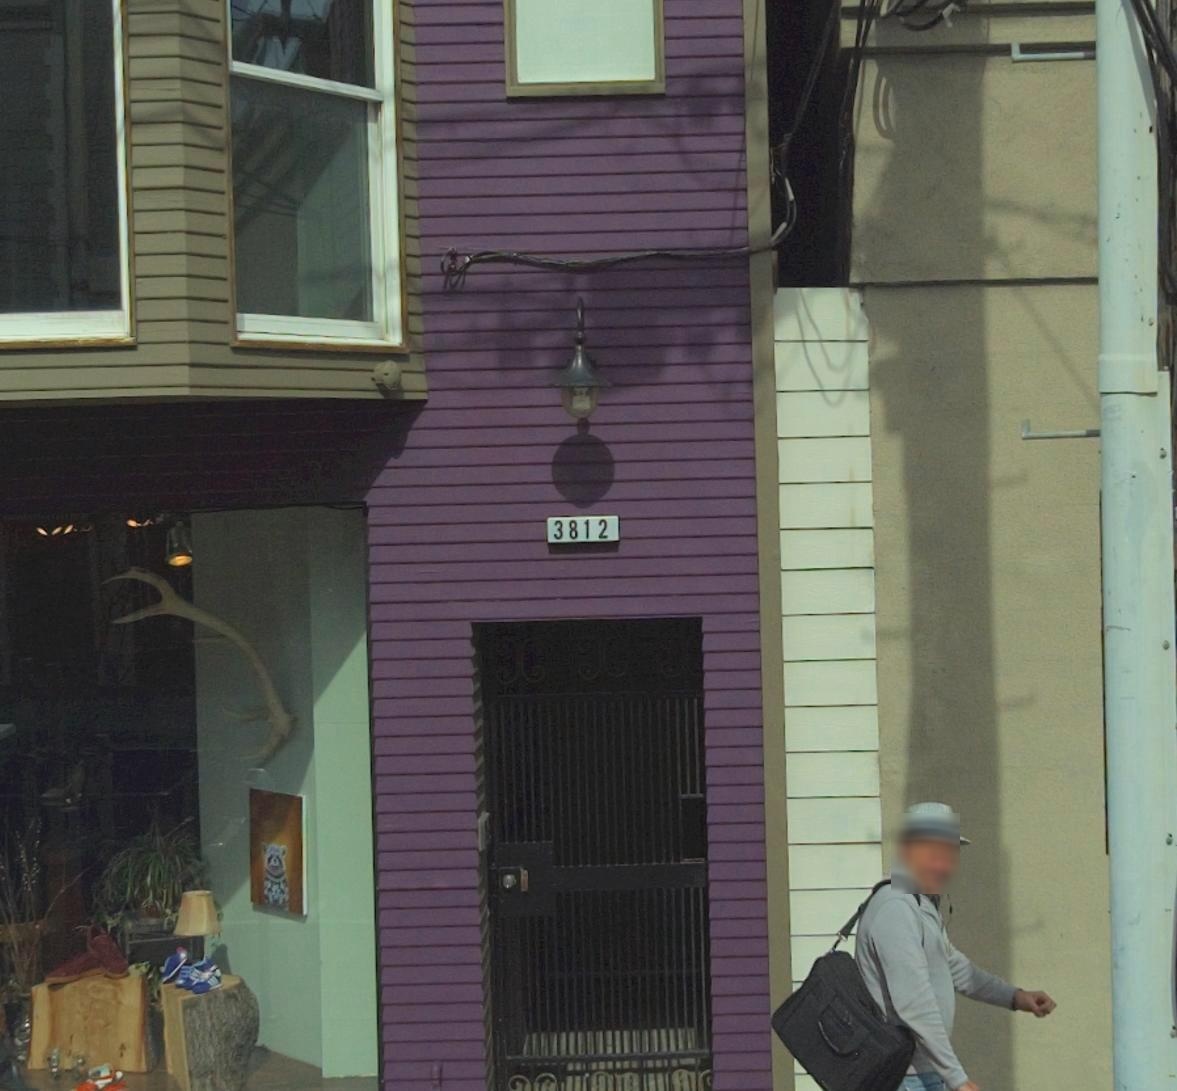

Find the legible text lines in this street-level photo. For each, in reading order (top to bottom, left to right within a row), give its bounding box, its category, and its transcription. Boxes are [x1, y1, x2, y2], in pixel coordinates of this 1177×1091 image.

[551, 518, 611, 542] StreetNumber: 3812